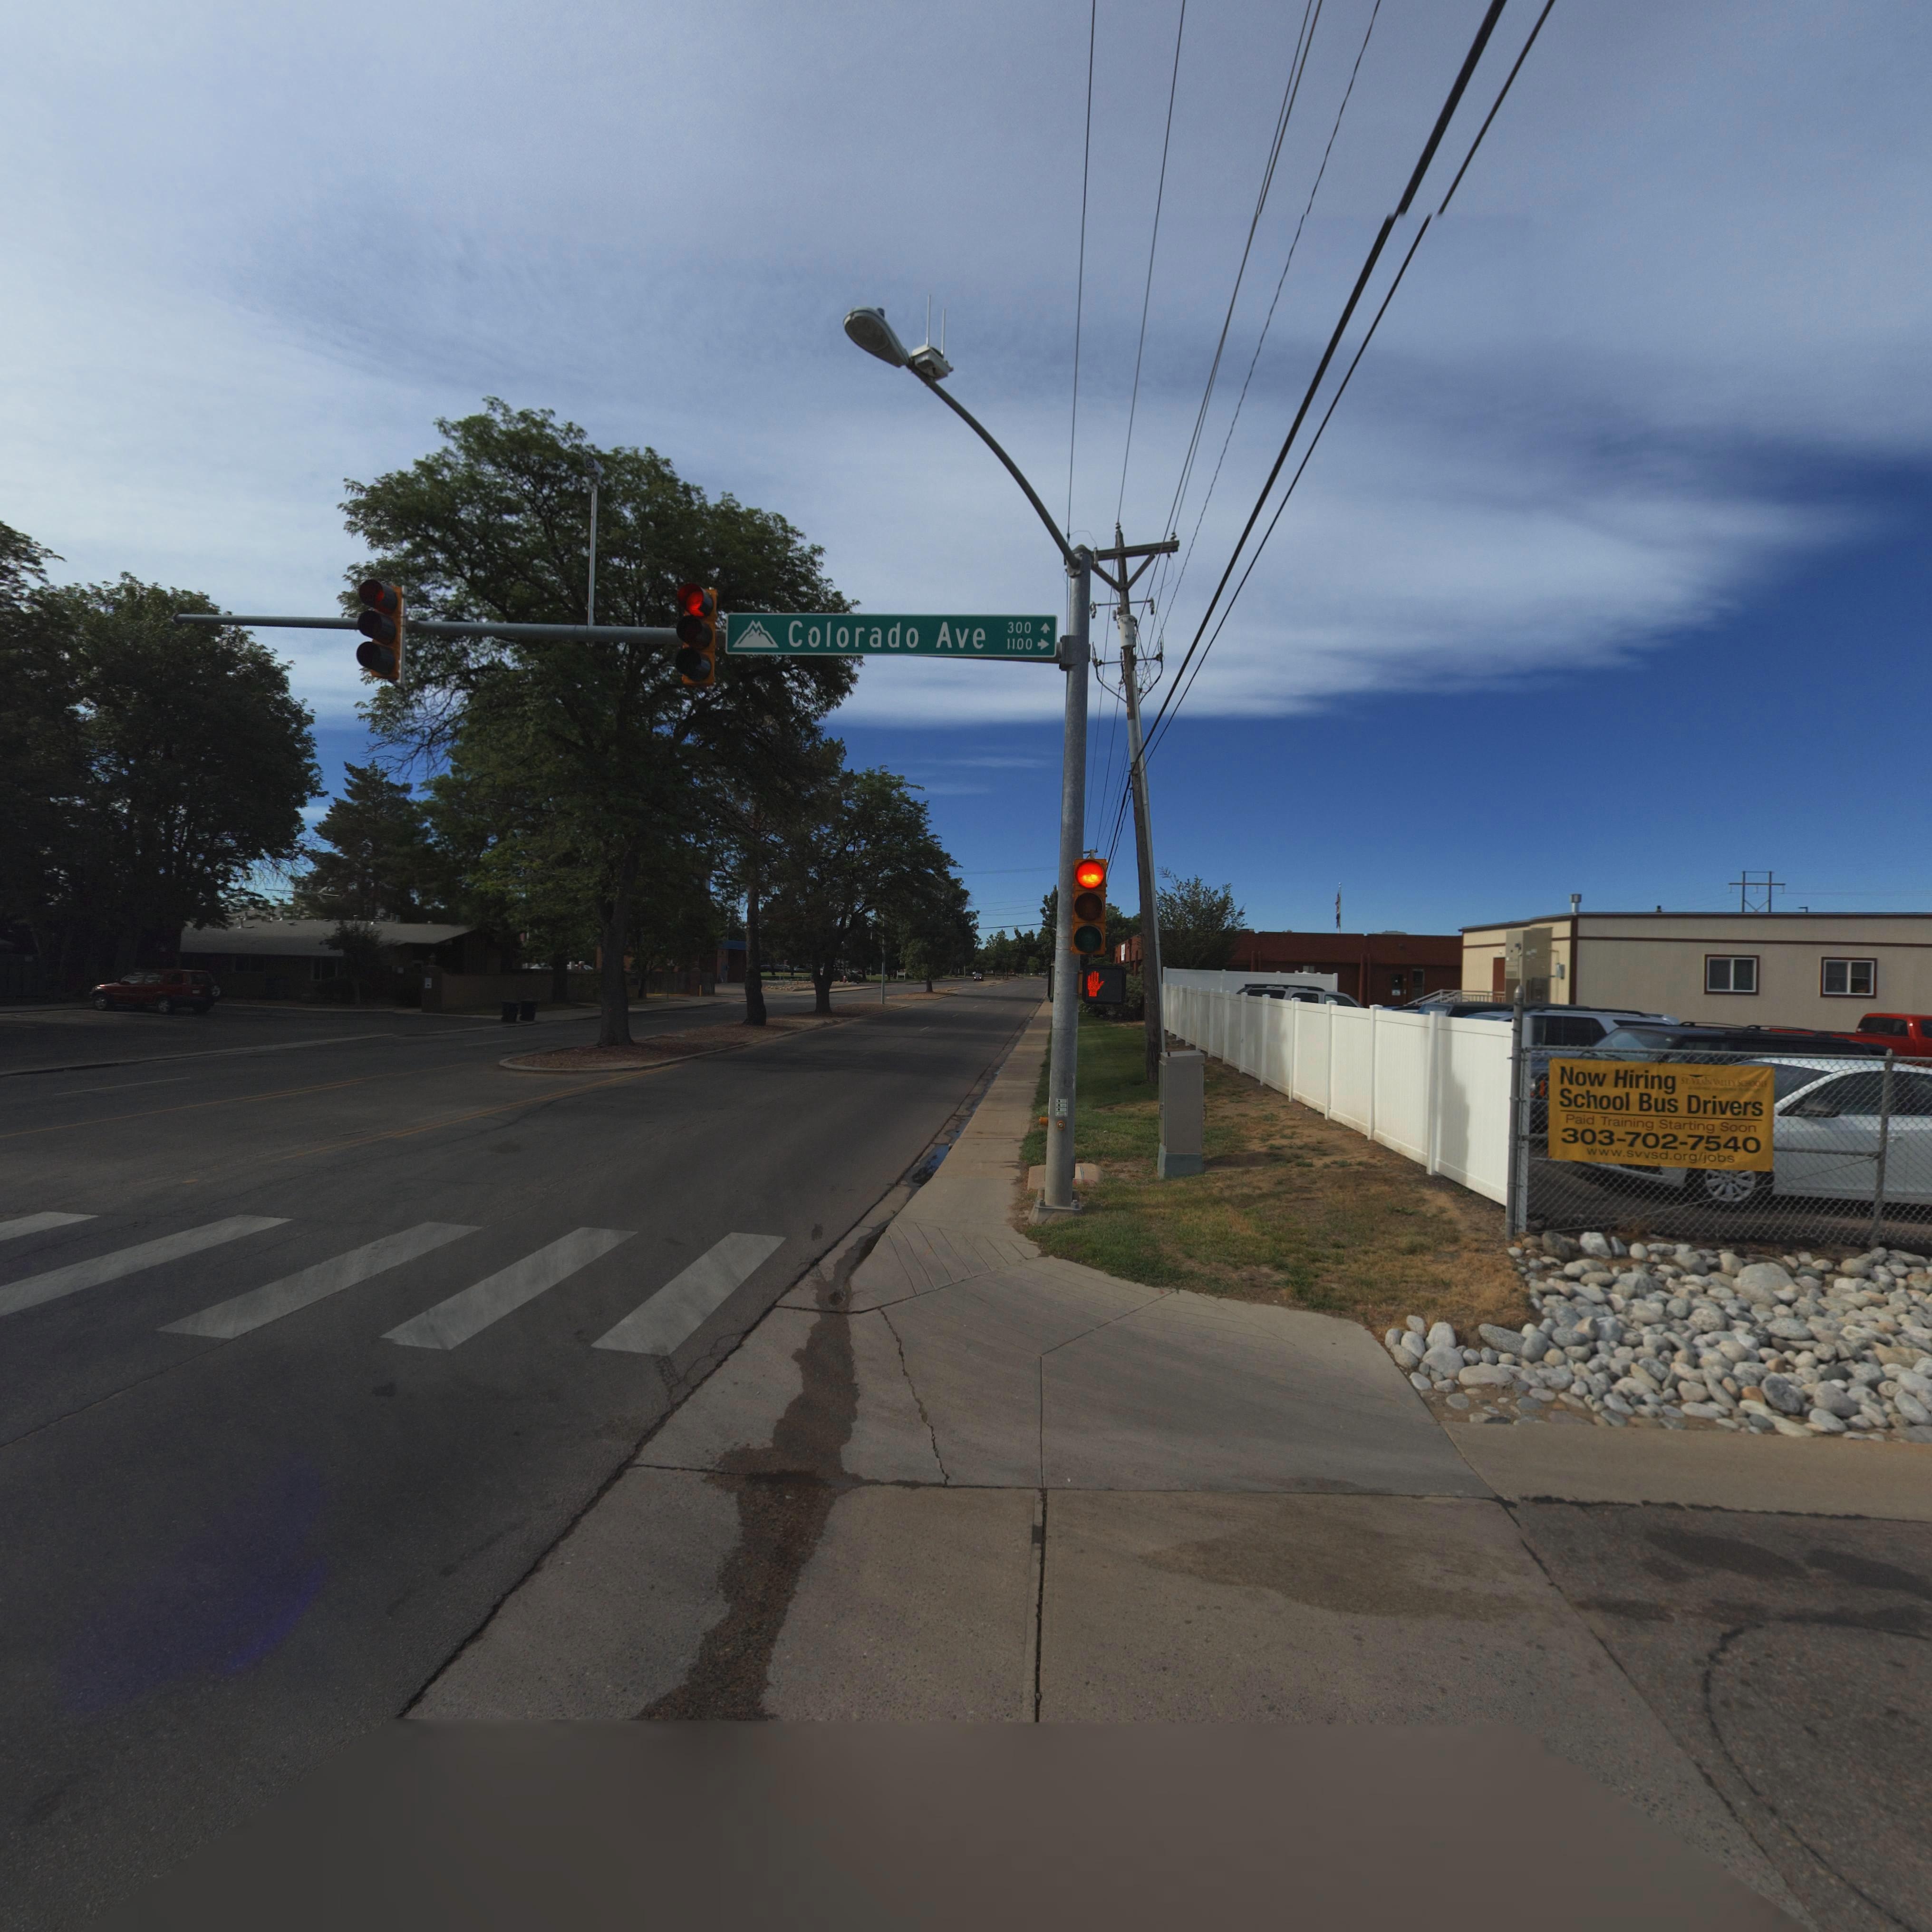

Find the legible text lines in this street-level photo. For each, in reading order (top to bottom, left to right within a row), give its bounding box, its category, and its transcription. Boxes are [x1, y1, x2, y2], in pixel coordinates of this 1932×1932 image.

[1007, 621, 1031, 634] StreetNumberRange: 300
[788, 619, 986, 649] StreetName: Colorado Ave
[1006, 638, 1050, 650] StreetNumberRange: 1100->